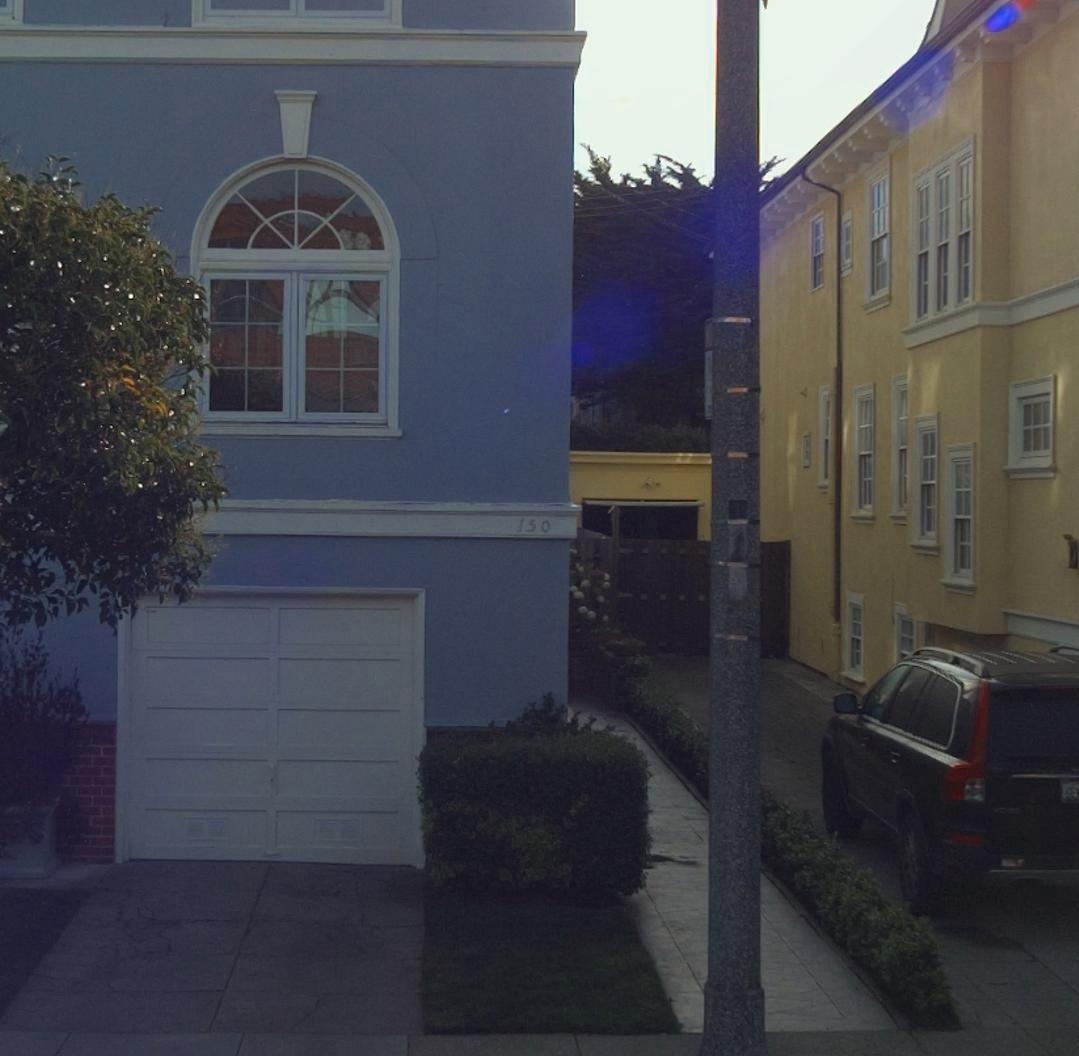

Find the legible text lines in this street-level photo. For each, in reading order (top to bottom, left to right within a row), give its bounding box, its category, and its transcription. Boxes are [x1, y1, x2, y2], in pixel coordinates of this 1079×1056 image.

[513, 515, 554, 535] StreetNumber: 150